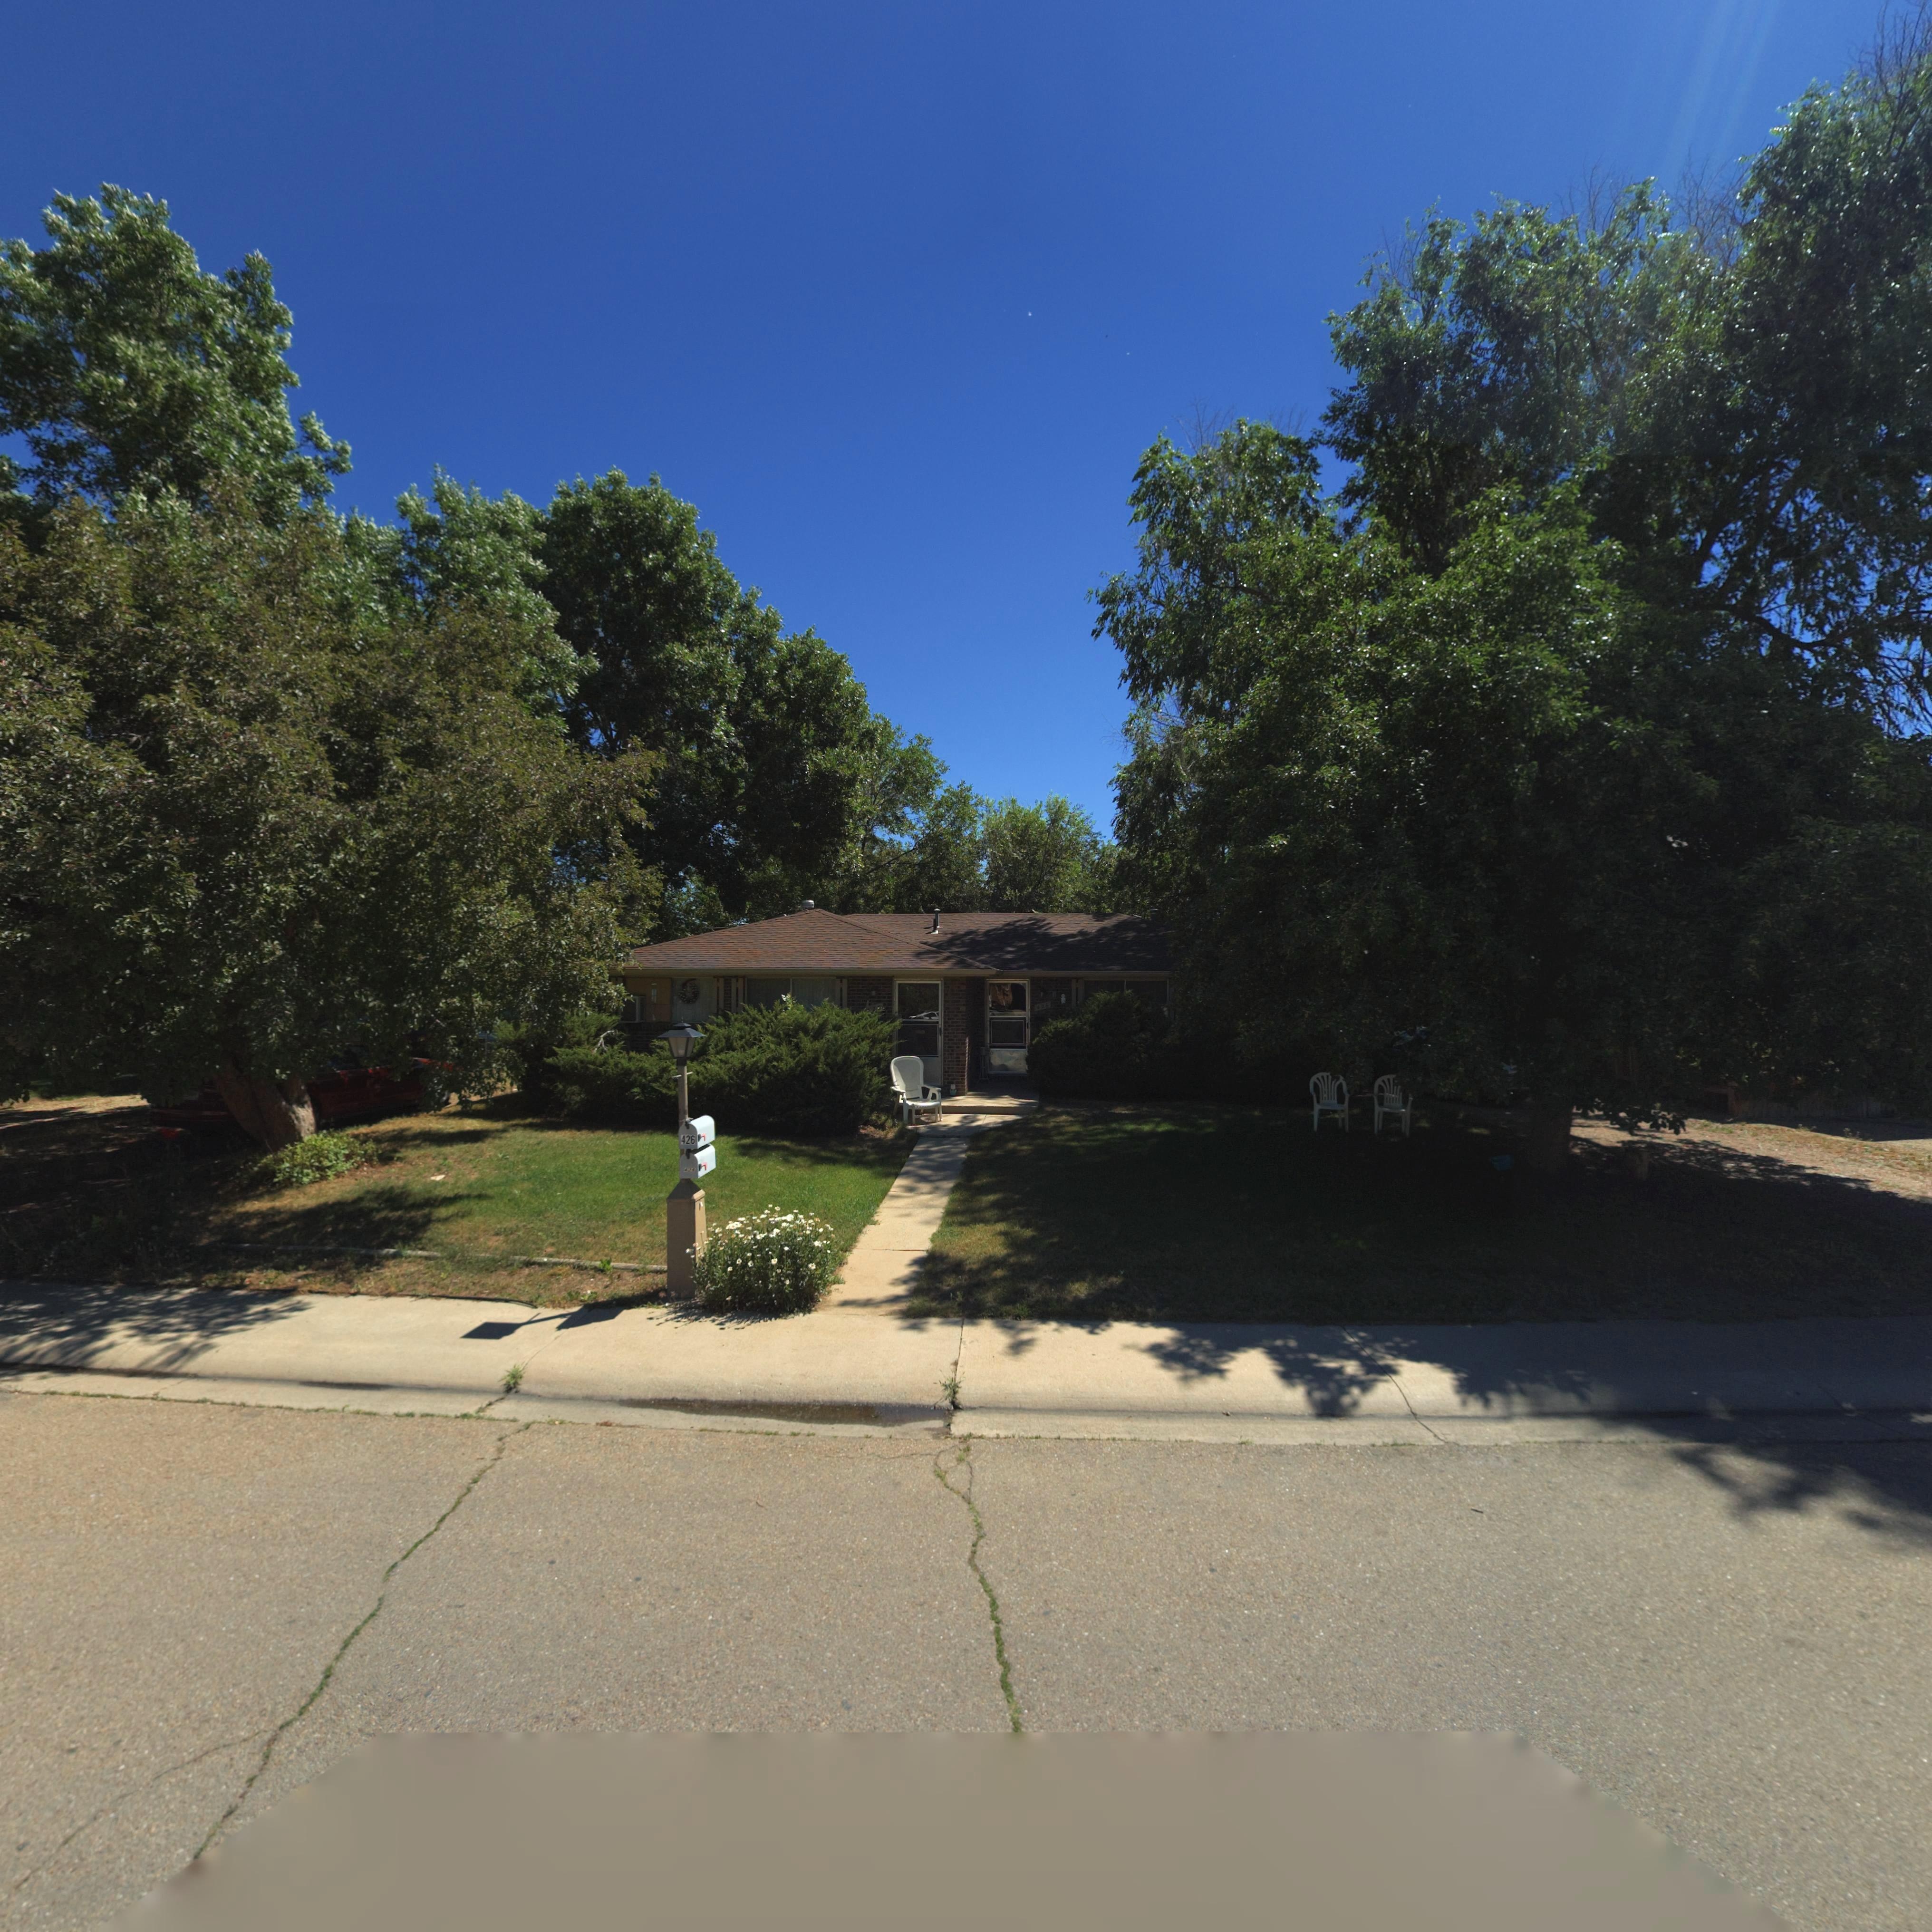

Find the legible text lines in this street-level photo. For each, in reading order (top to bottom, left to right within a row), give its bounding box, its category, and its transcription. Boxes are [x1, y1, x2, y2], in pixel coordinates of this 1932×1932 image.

[1033, 1001, 1051, 1011] StreetNumber: 426
[681, 1133, 696, 1149] StreetNumber: 426